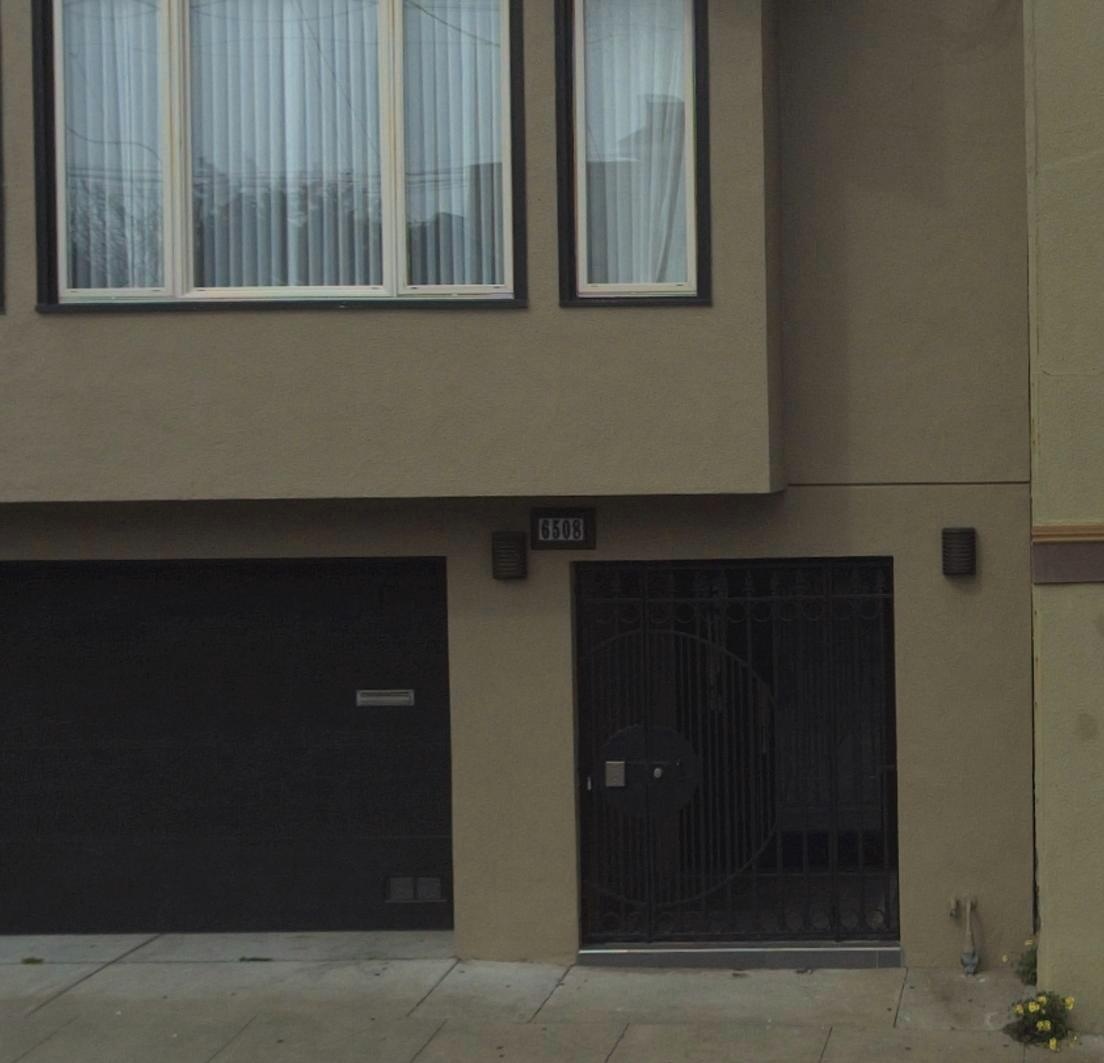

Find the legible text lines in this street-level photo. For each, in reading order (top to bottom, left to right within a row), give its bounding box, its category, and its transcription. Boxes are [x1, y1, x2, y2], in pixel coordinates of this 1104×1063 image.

[540, 518, 582, 540] StreetNumber: 6508